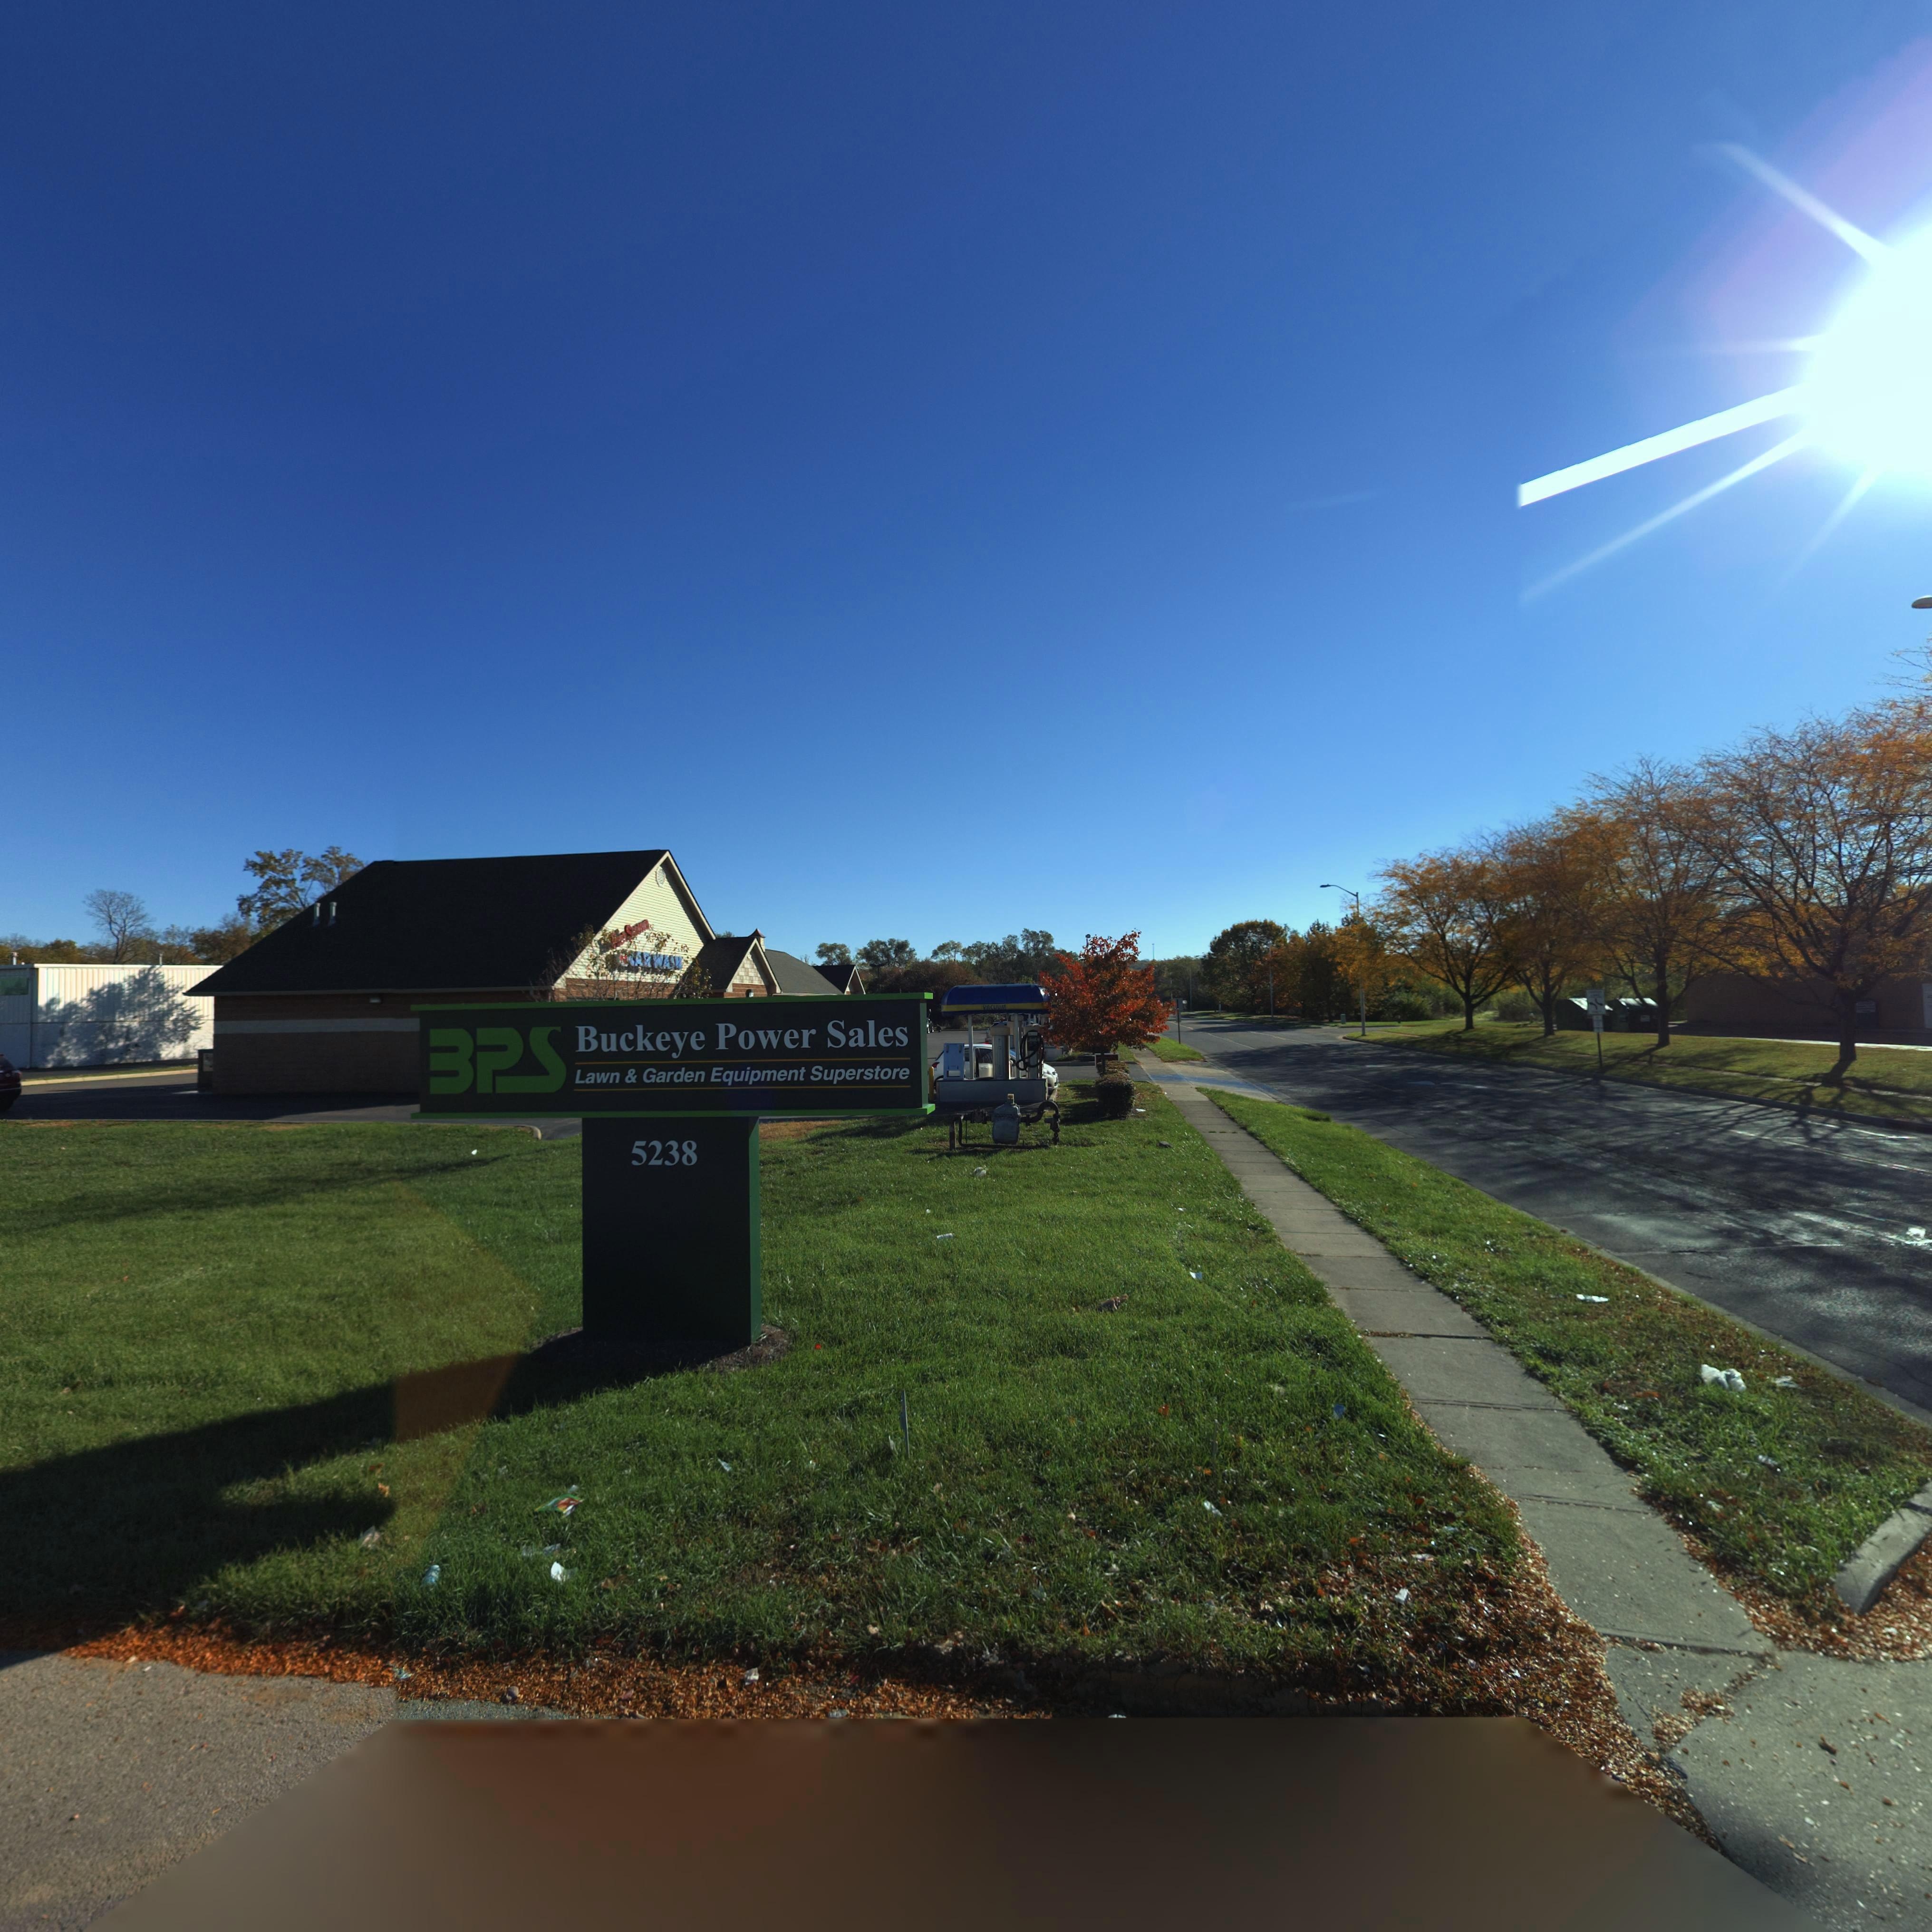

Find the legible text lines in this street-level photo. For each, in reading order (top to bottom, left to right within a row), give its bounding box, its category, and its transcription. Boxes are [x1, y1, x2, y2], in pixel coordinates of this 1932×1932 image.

[630, 1139, 699, 1167] StreetNumber: 5238